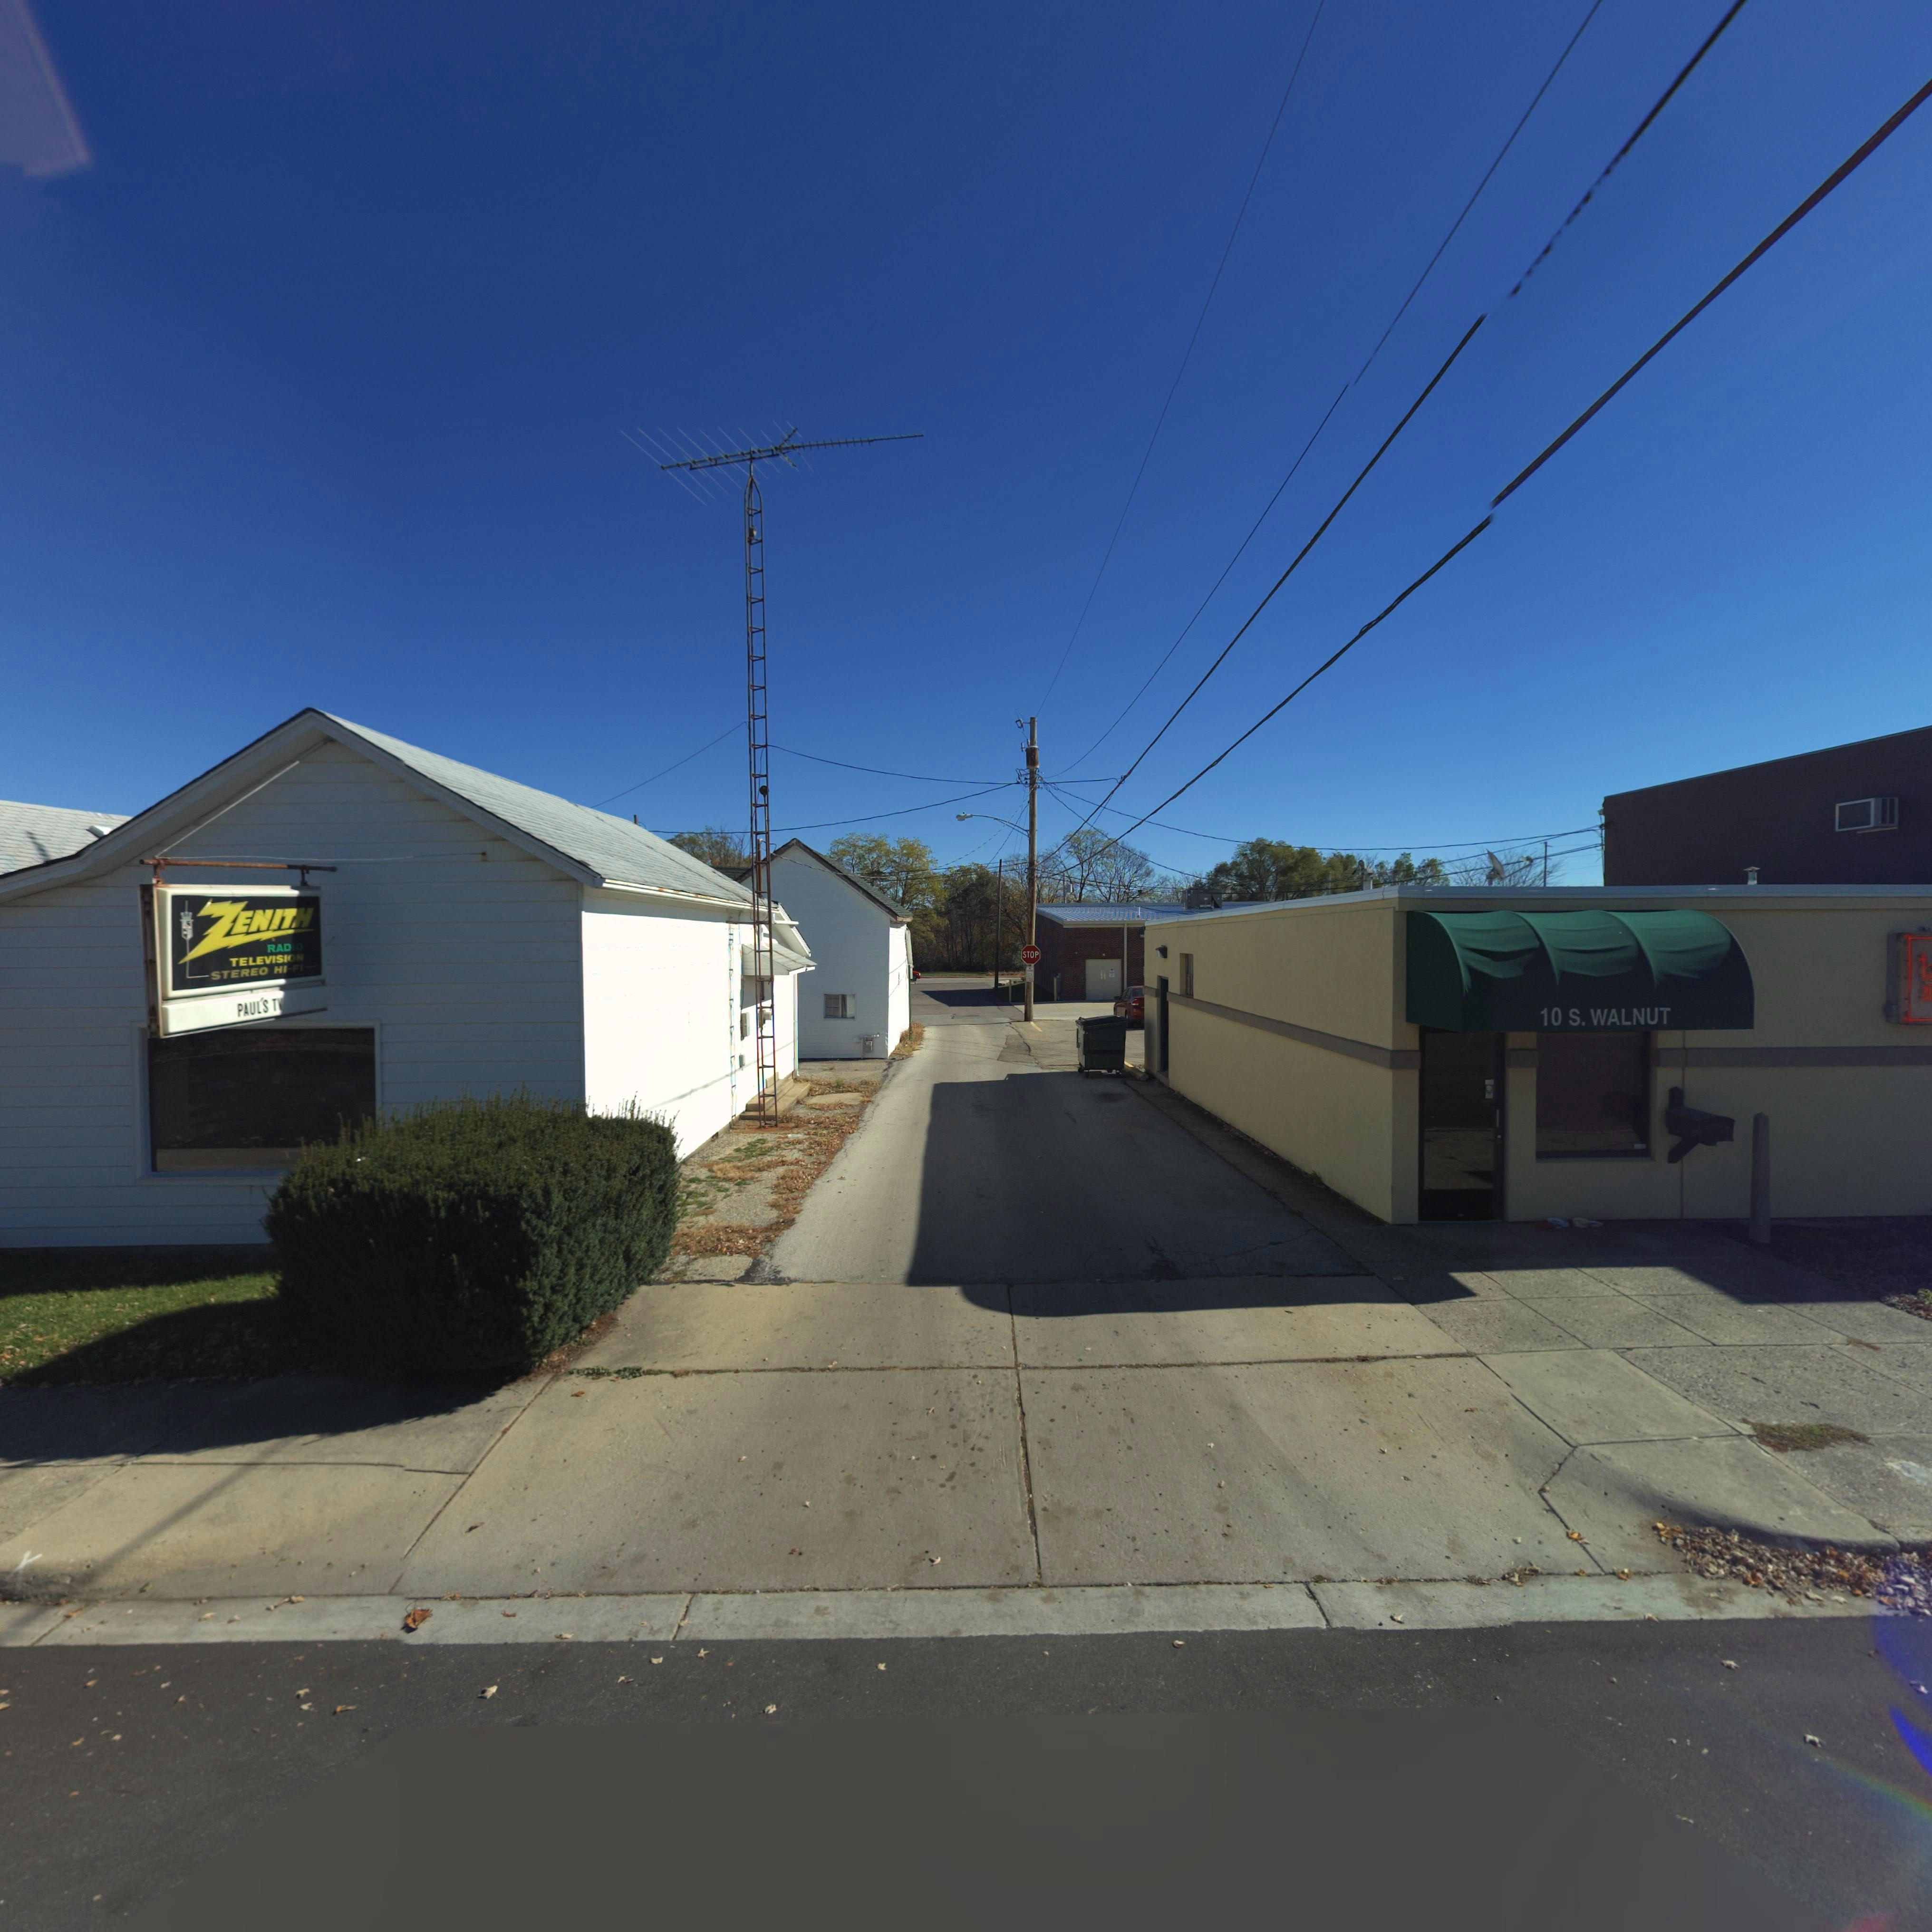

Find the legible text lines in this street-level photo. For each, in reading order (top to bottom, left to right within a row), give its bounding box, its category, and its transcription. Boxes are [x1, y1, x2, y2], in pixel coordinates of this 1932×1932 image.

[174, 897, 317, 967] BusinessName: ZENITH
[228, 952, 306, 968] None: TELEVISION
[266, 941, 304, 953] None: RADIO
[1022, 950, 1040, 959] None: STOP
[210, 963, 305, 981] None: STEREO HI-FI
[236, 996, 285, 1018] None: PAUL'S TV
[1539, 1006, 1563, 1027] StreetNumber: 10
[1567, 1006, 1672, 1027] StreetName: S. WALNUT